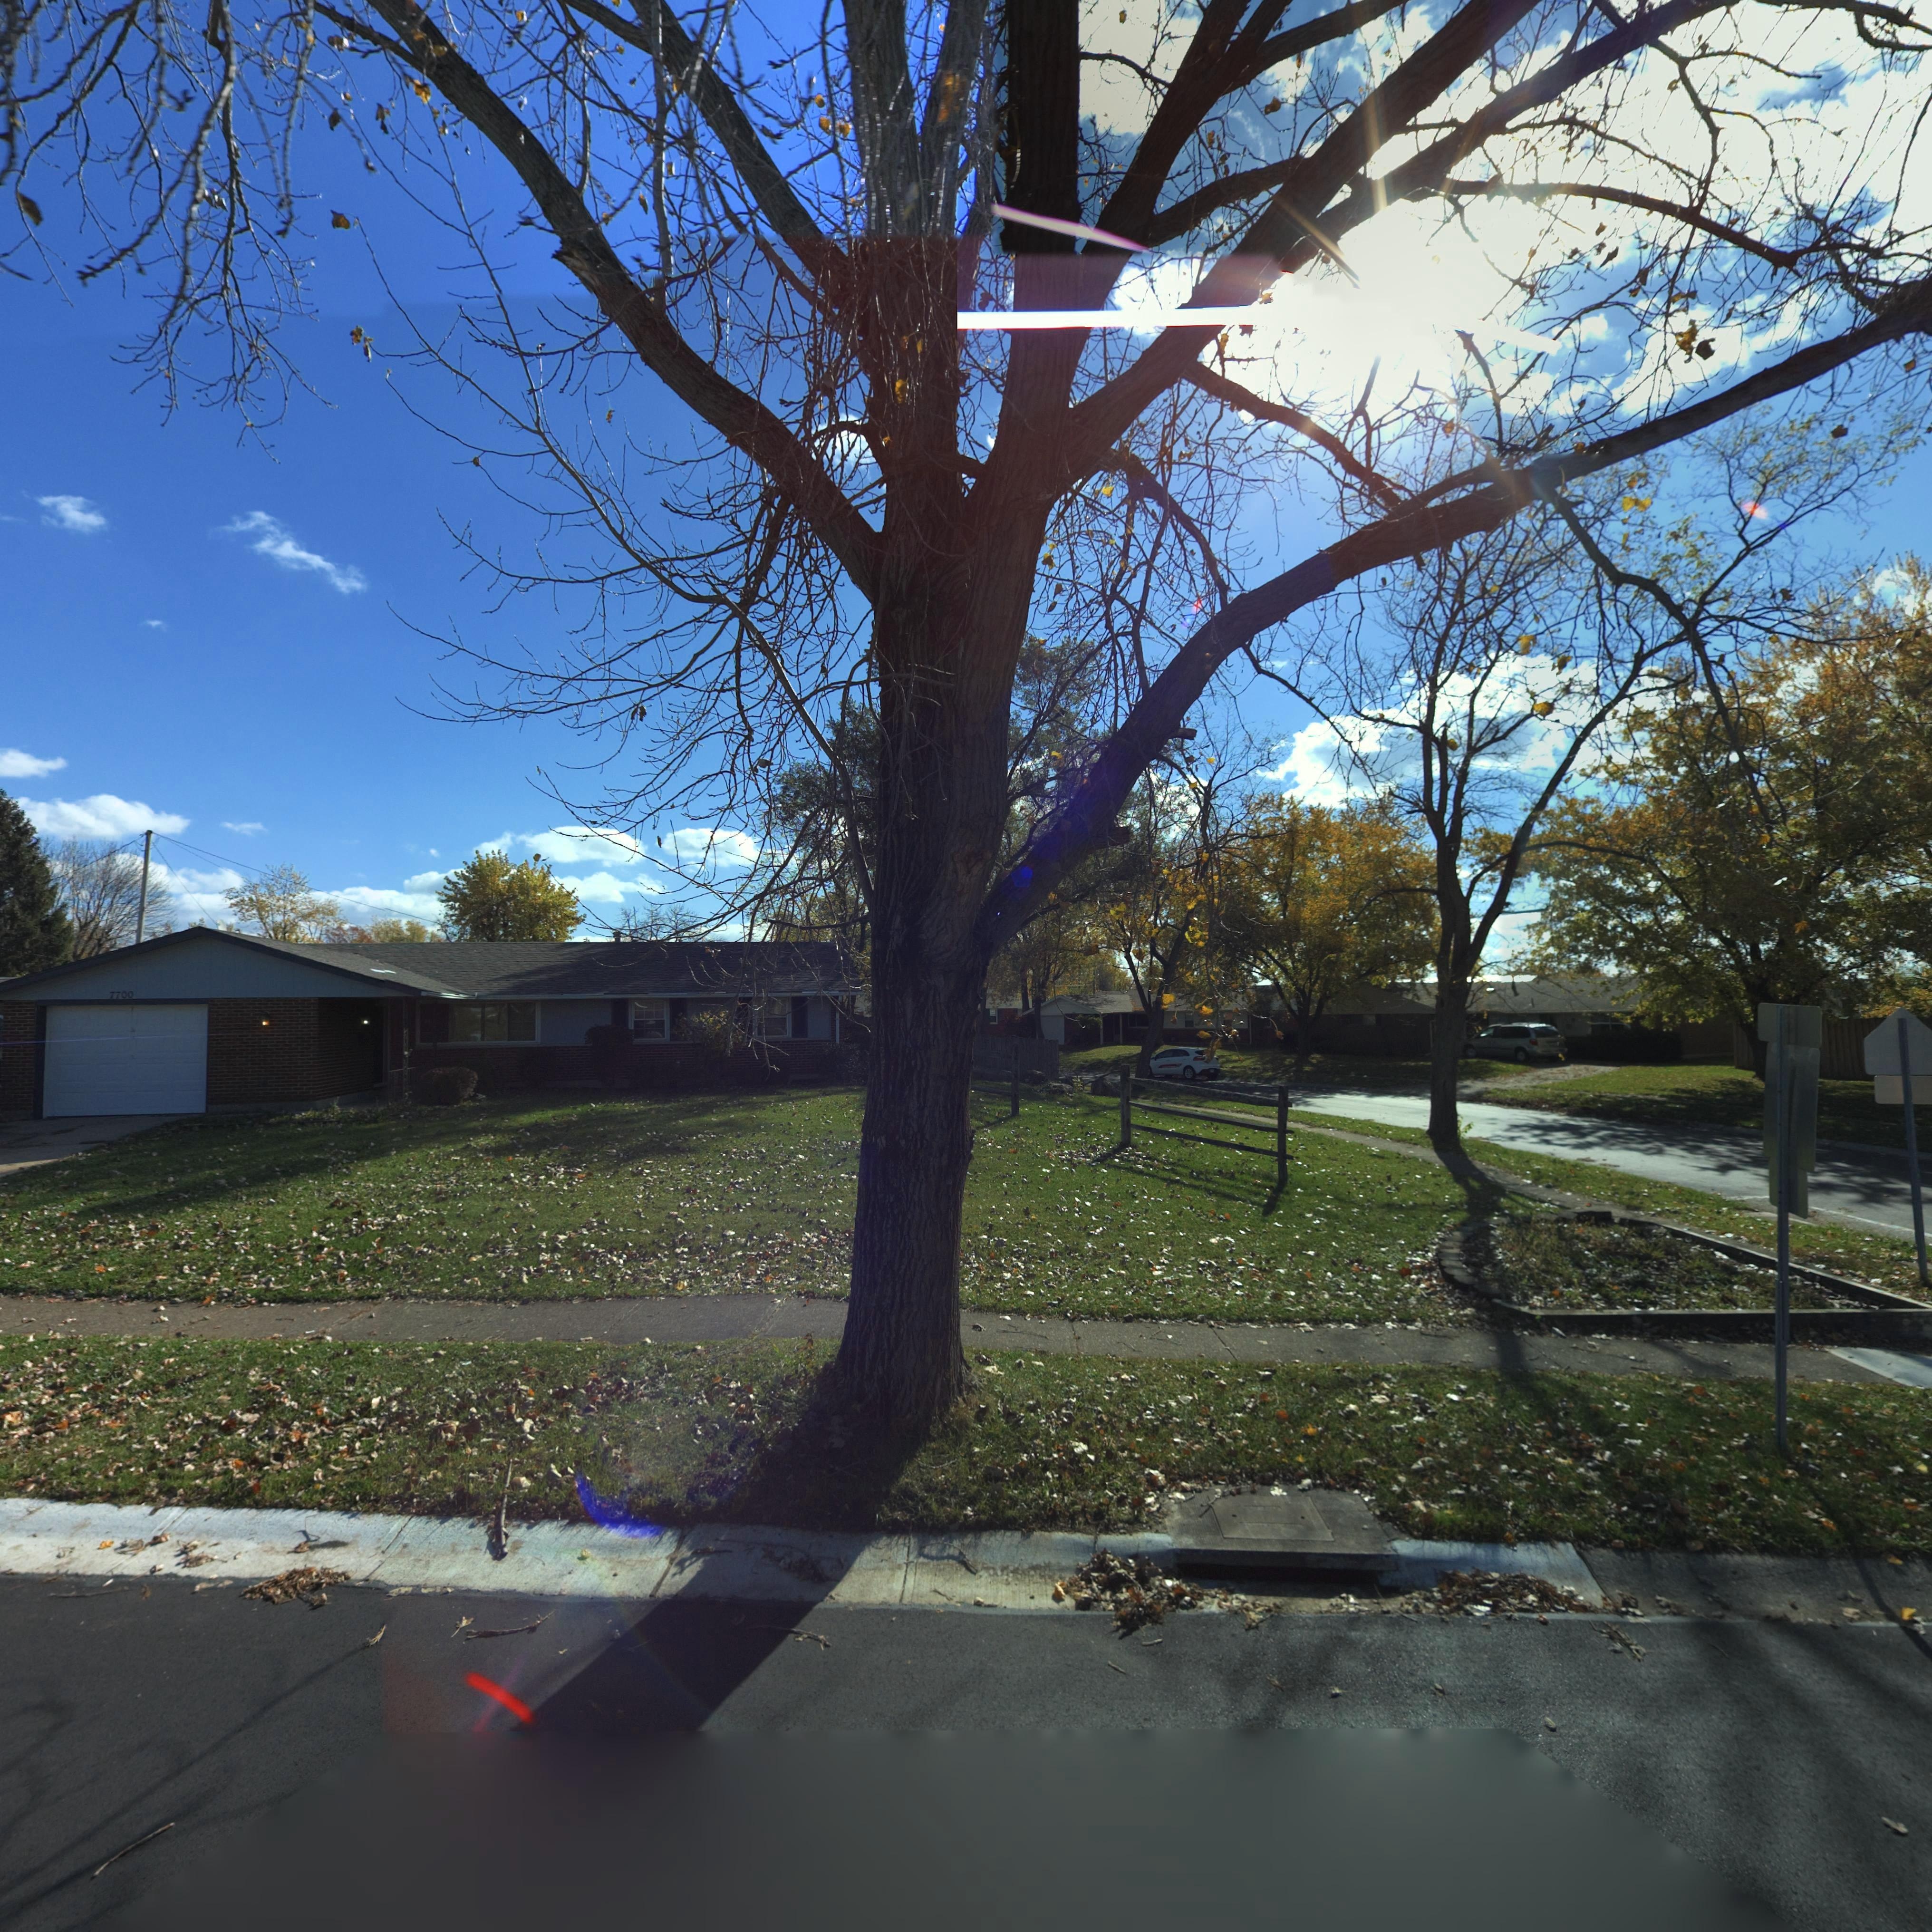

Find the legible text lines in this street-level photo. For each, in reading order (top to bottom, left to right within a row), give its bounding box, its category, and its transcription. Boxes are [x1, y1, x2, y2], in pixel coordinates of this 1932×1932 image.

[109, 990, 134, 1000] StreetNumber: 7700